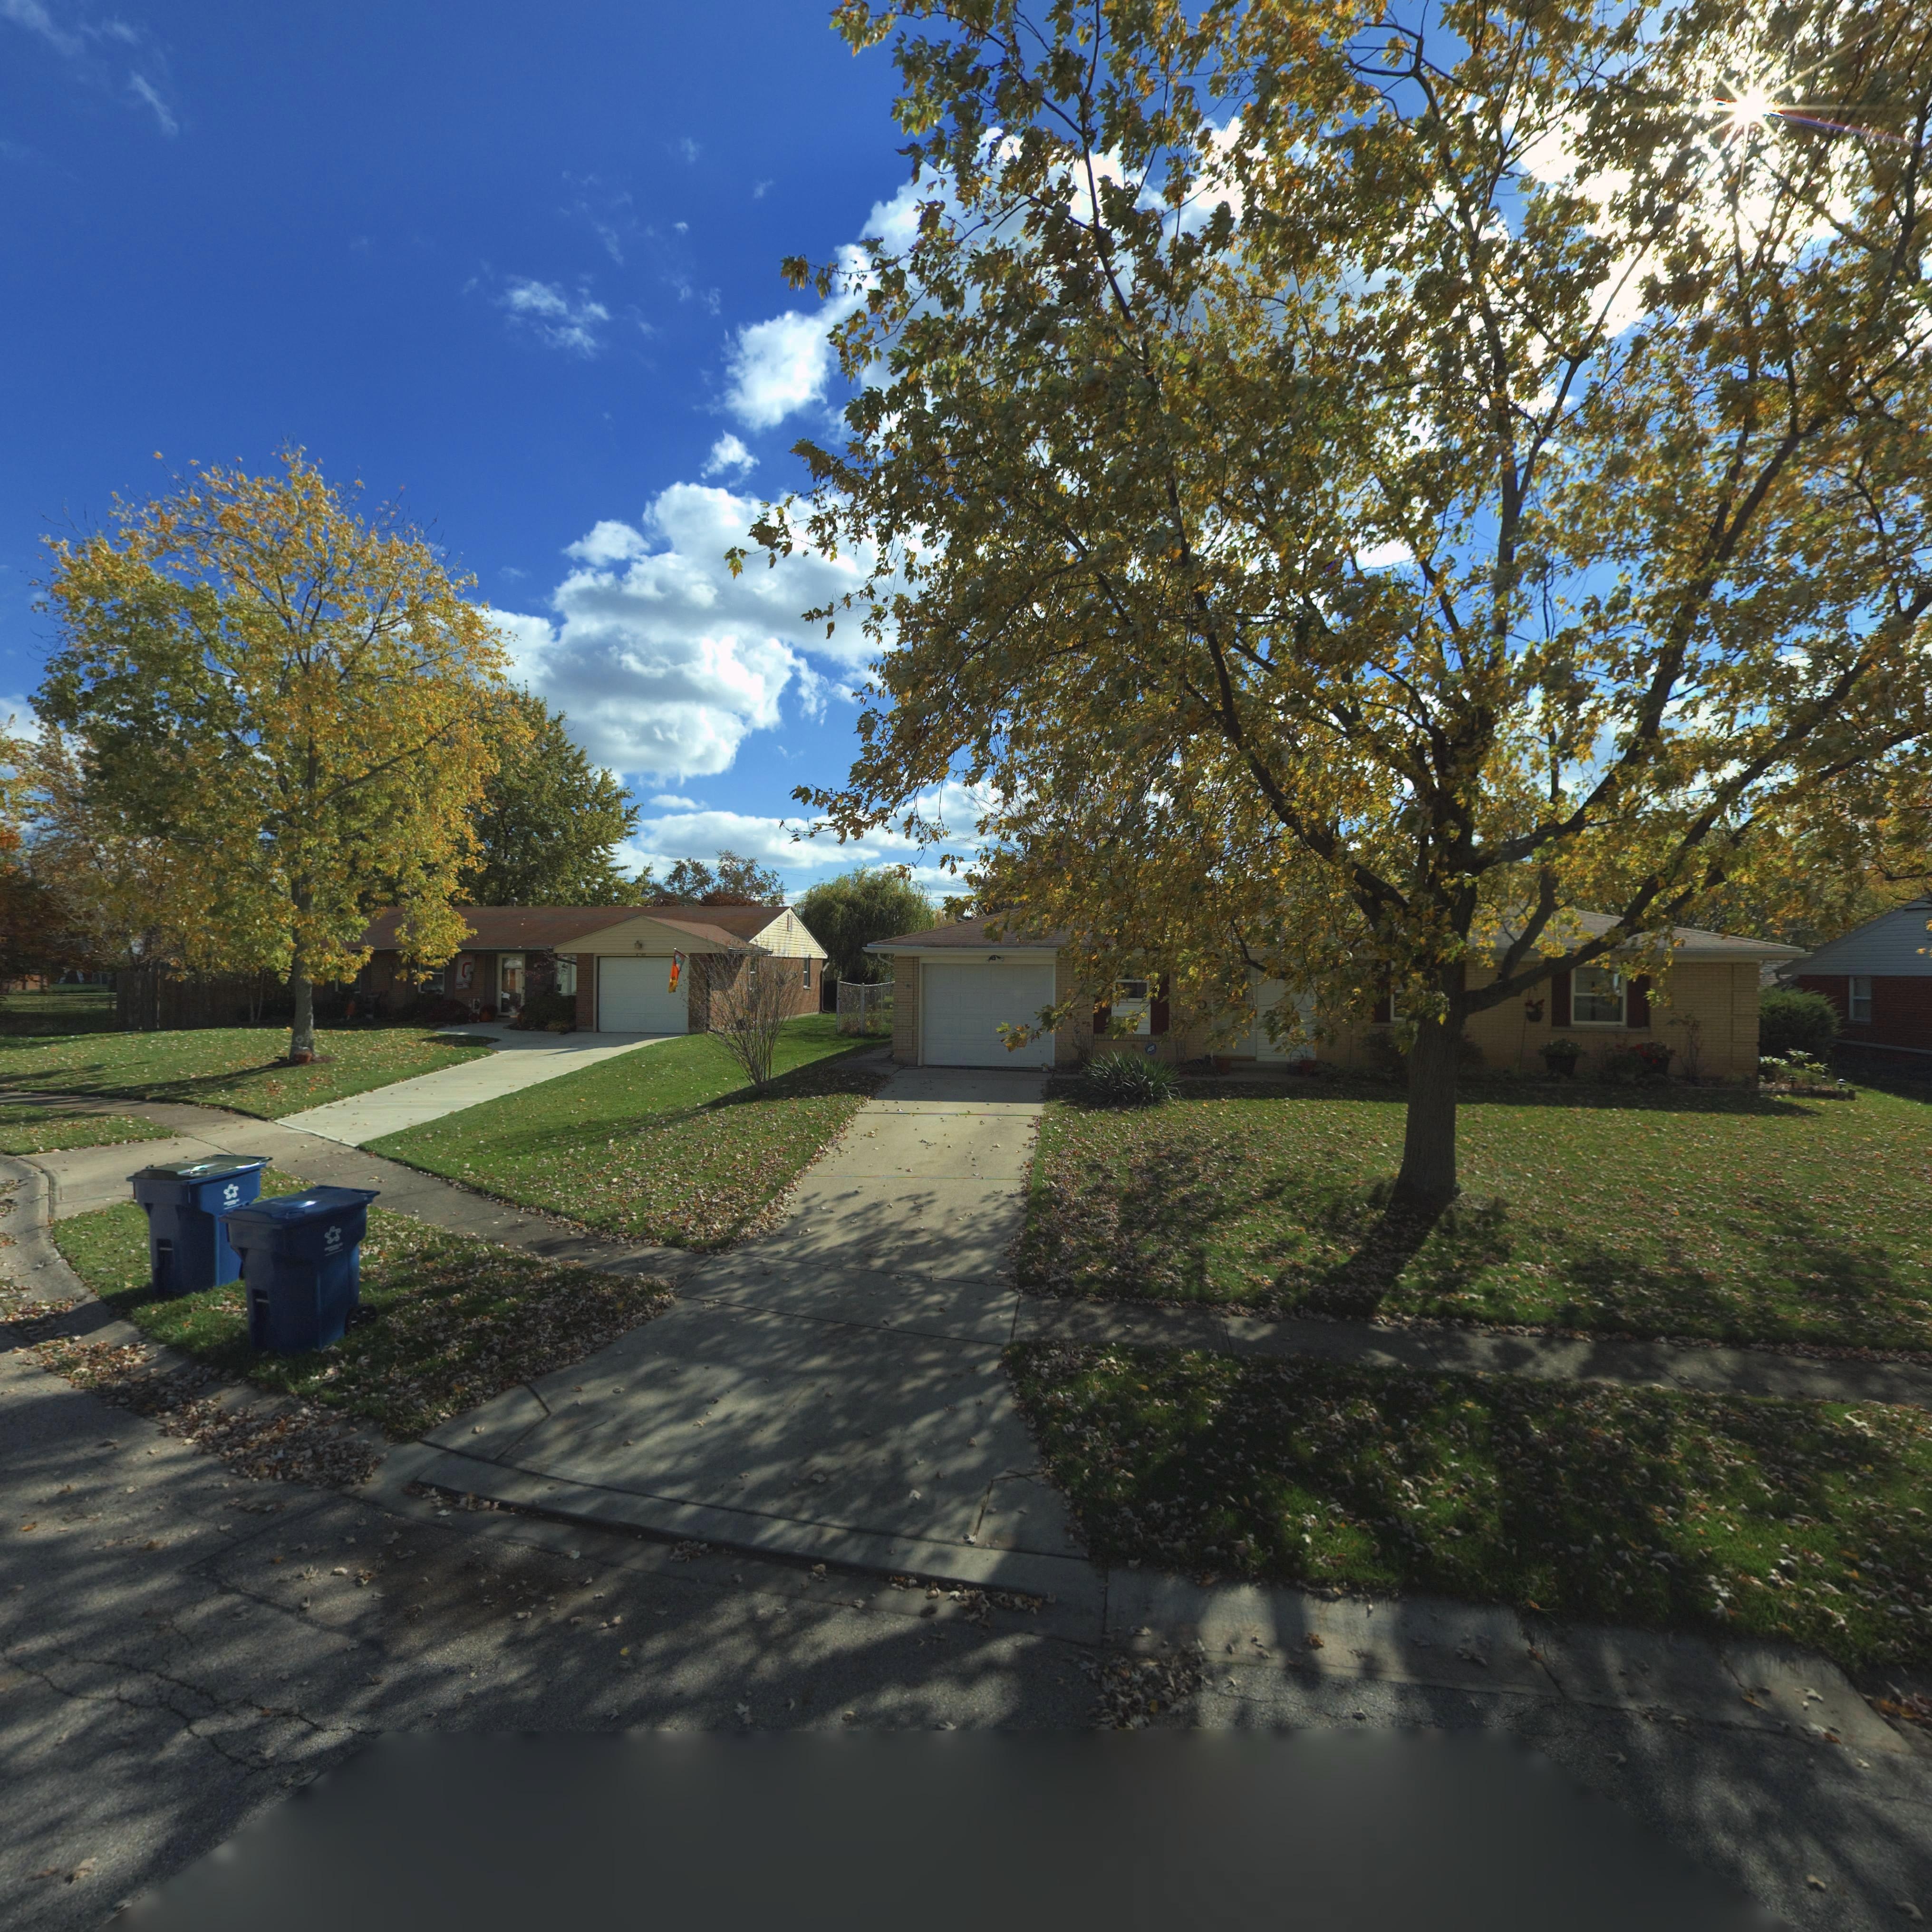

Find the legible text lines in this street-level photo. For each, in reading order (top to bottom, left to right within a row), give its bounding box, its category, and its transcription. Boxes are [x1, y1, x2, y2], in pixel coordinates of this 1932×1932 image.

[635, 953, 647, 956] StreetNumber: 6740
[1197, 999, 1208, 1011] StreetNumber: 0